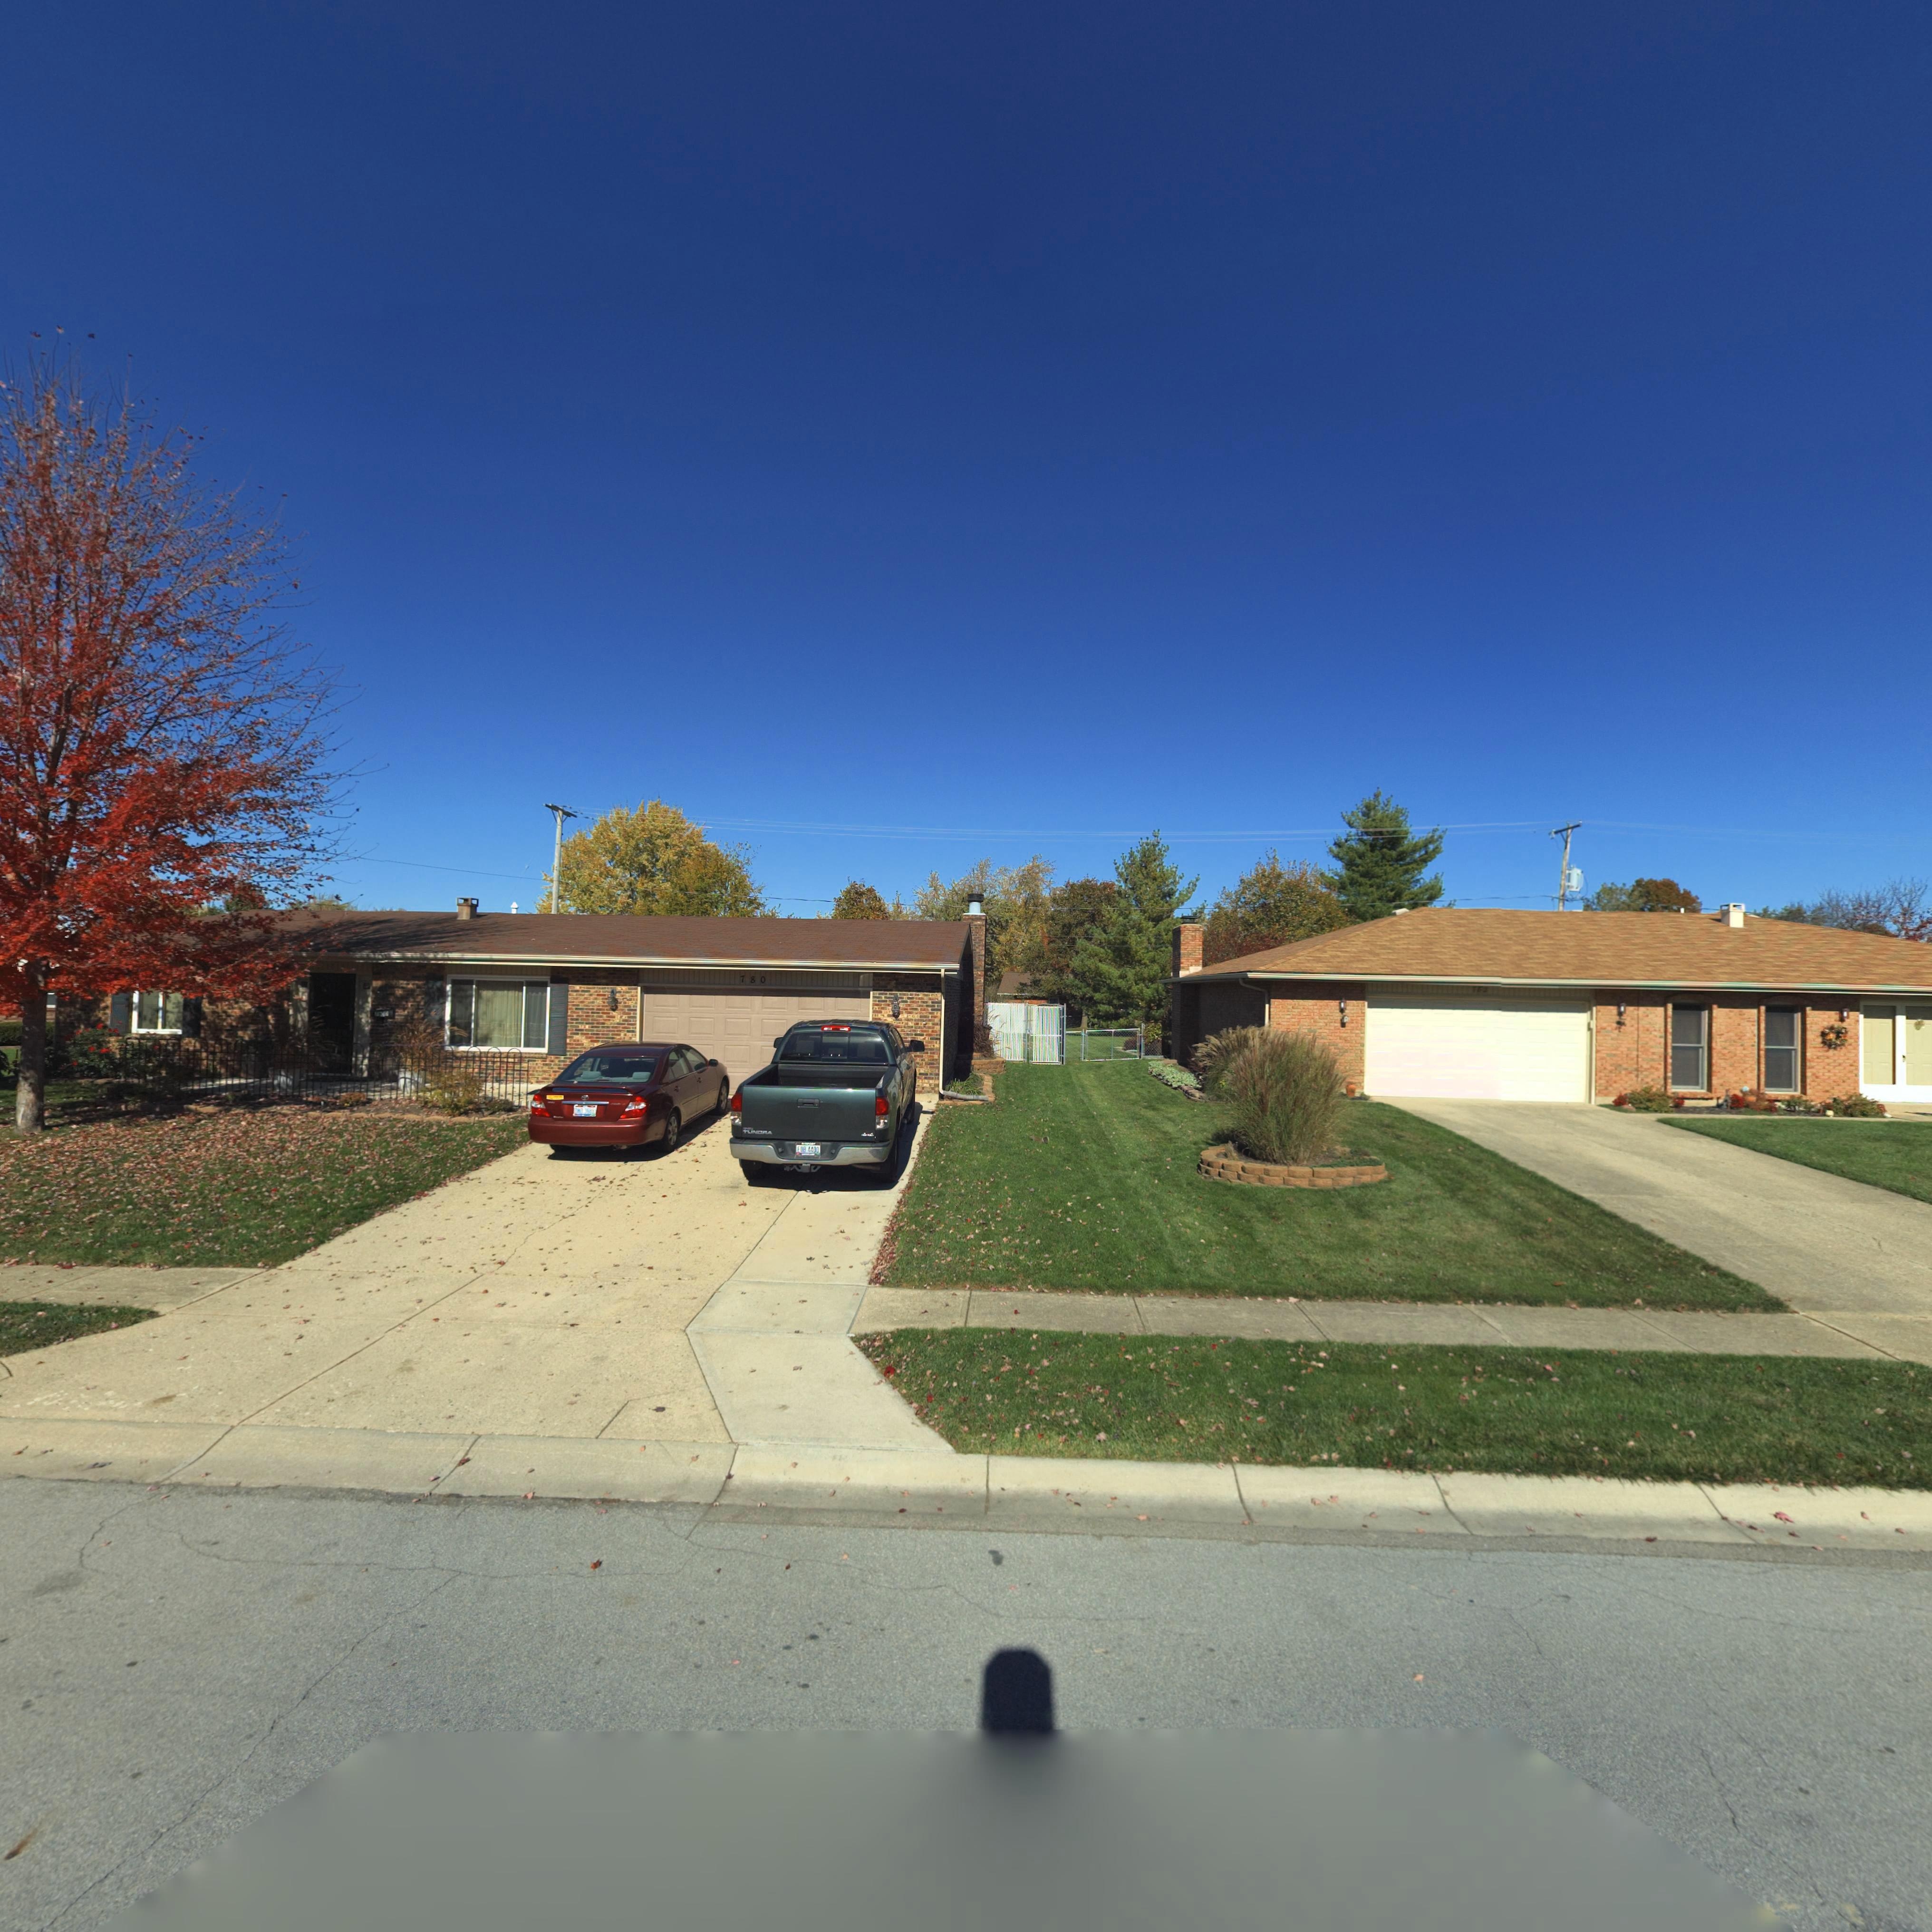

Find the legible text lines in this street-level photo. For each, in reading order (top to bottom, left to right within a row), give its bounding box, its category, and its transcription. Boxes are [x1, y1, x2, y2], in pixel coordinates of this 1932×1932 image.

[739, 975, 766, 984] StreetNumber: 780
[1471, 985, 1489, 994] StreetNumber: 782